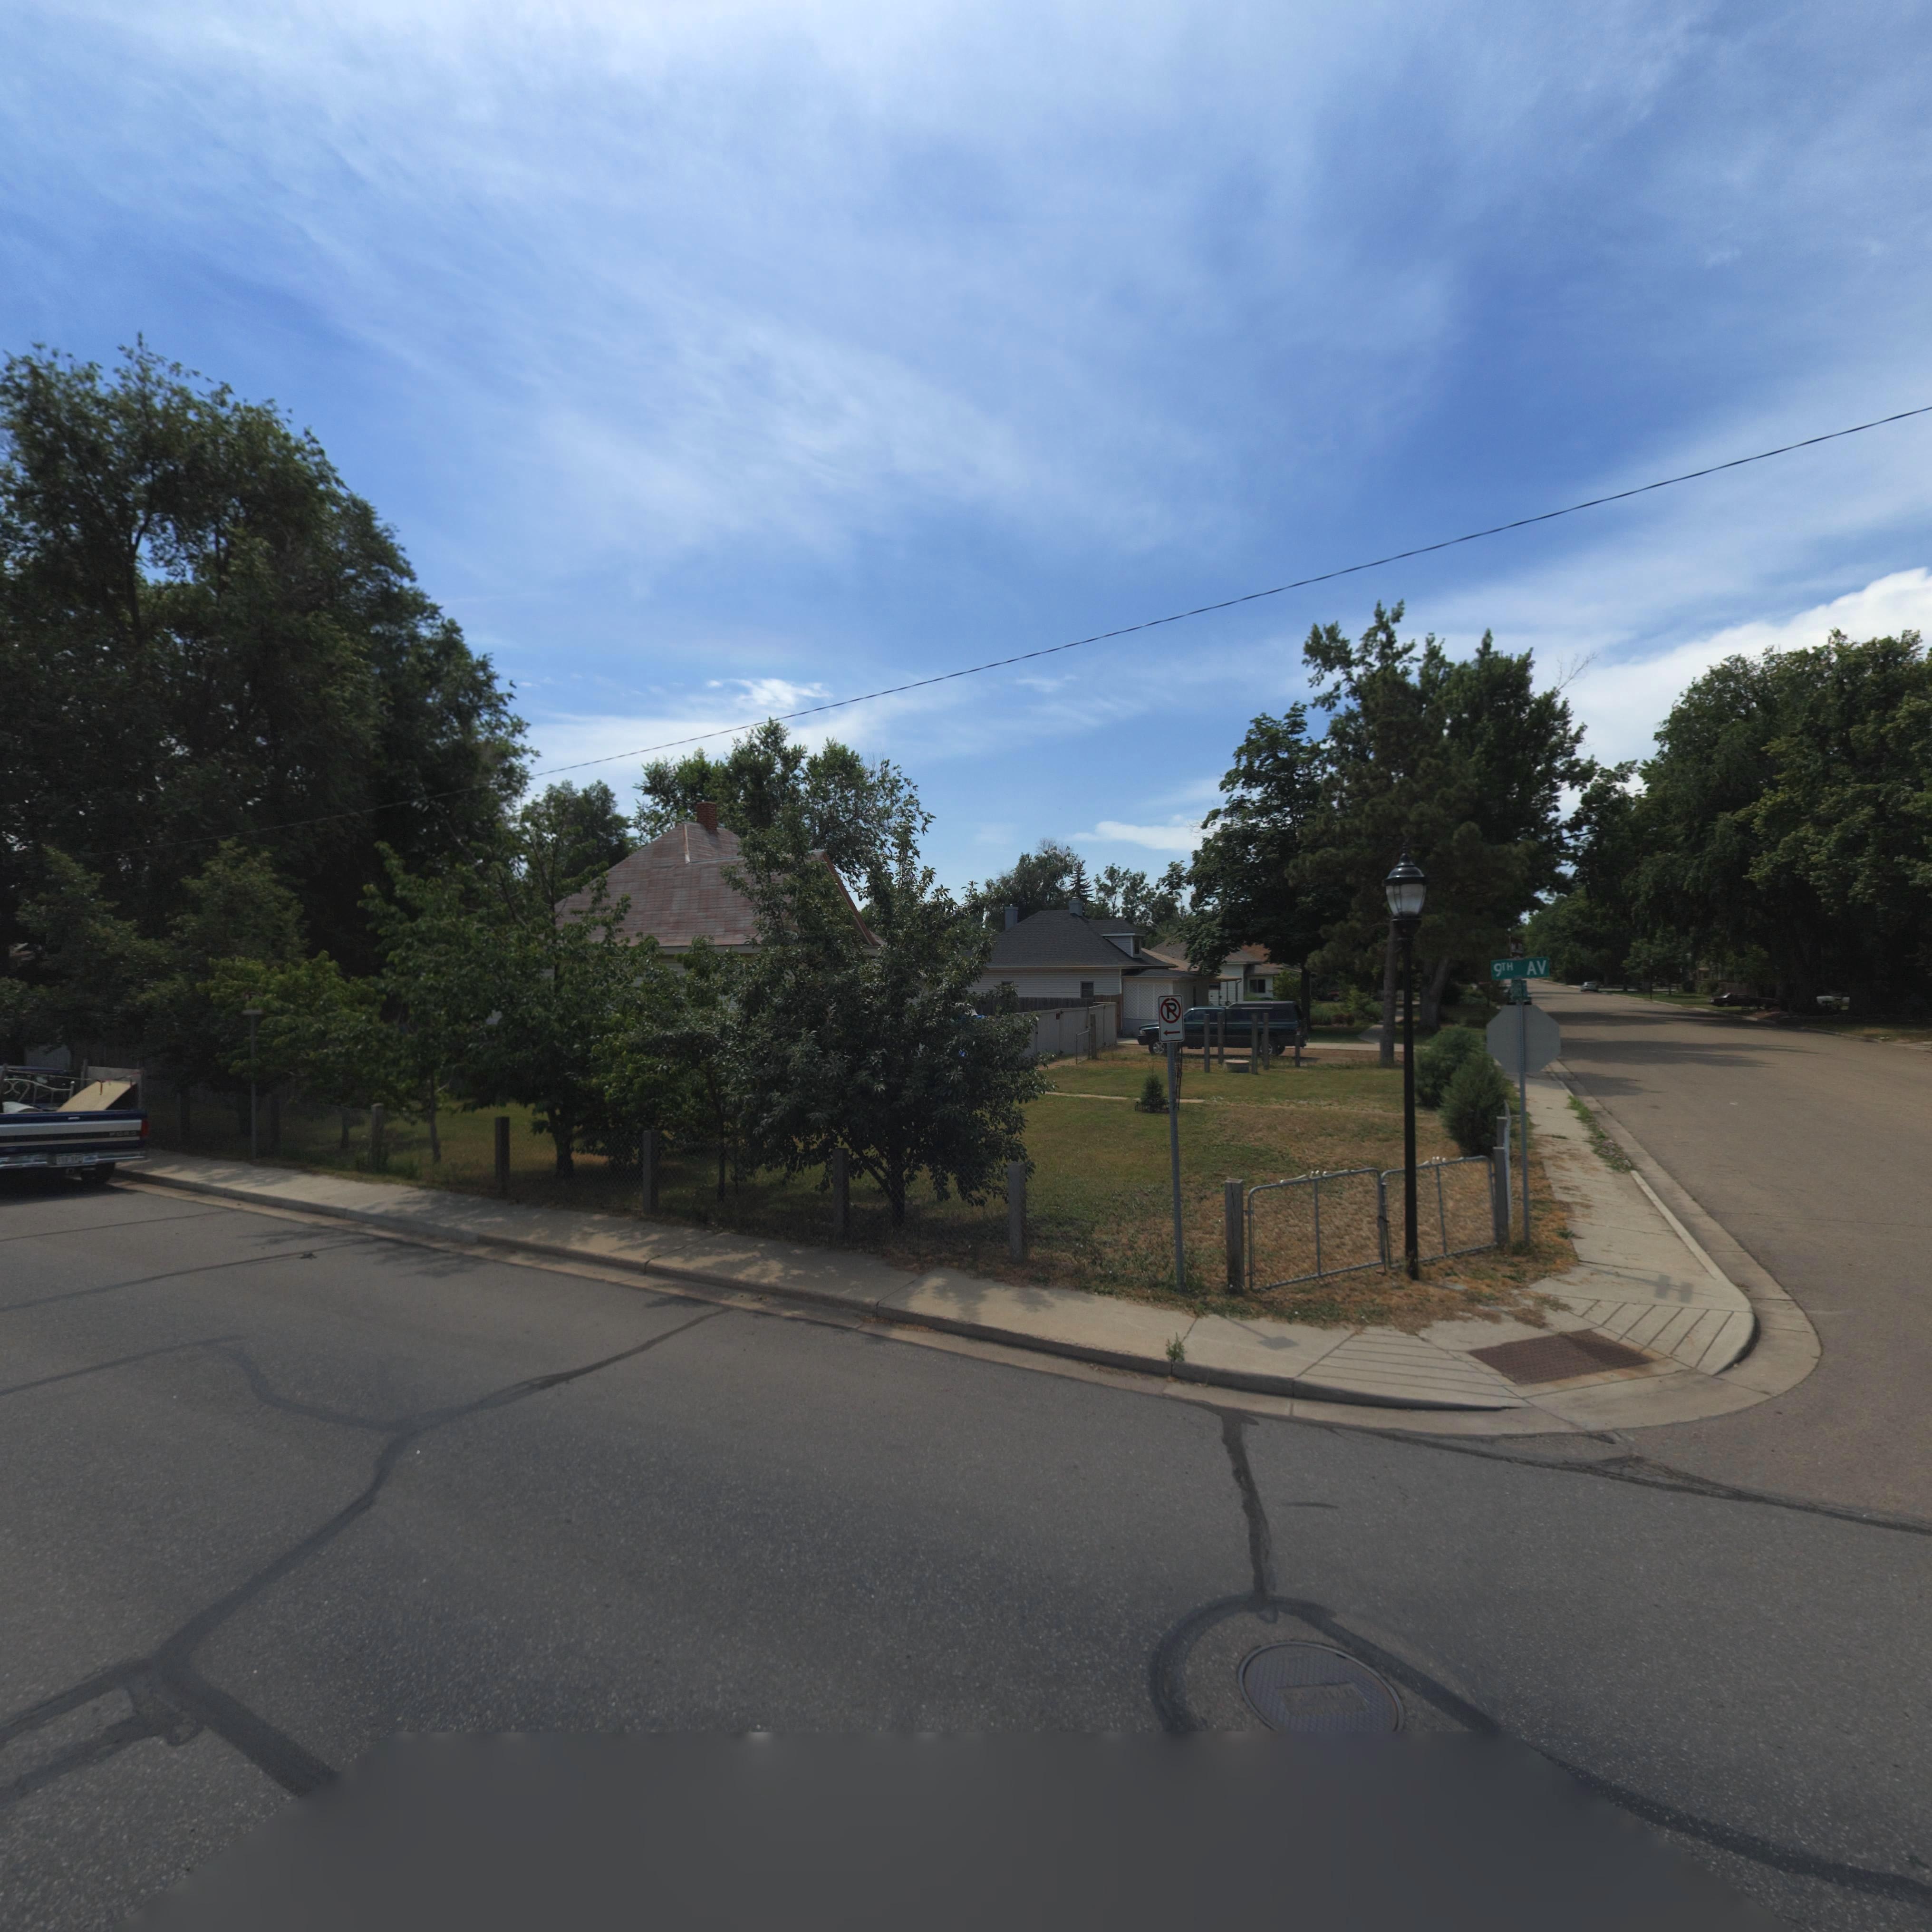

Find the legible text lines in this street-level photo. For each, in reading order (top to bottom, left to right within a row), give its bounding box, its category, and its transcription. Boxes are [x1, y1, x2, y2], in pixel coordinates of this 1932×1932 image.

[1493, 959, 1546, 977] StreetName: 9TH AV